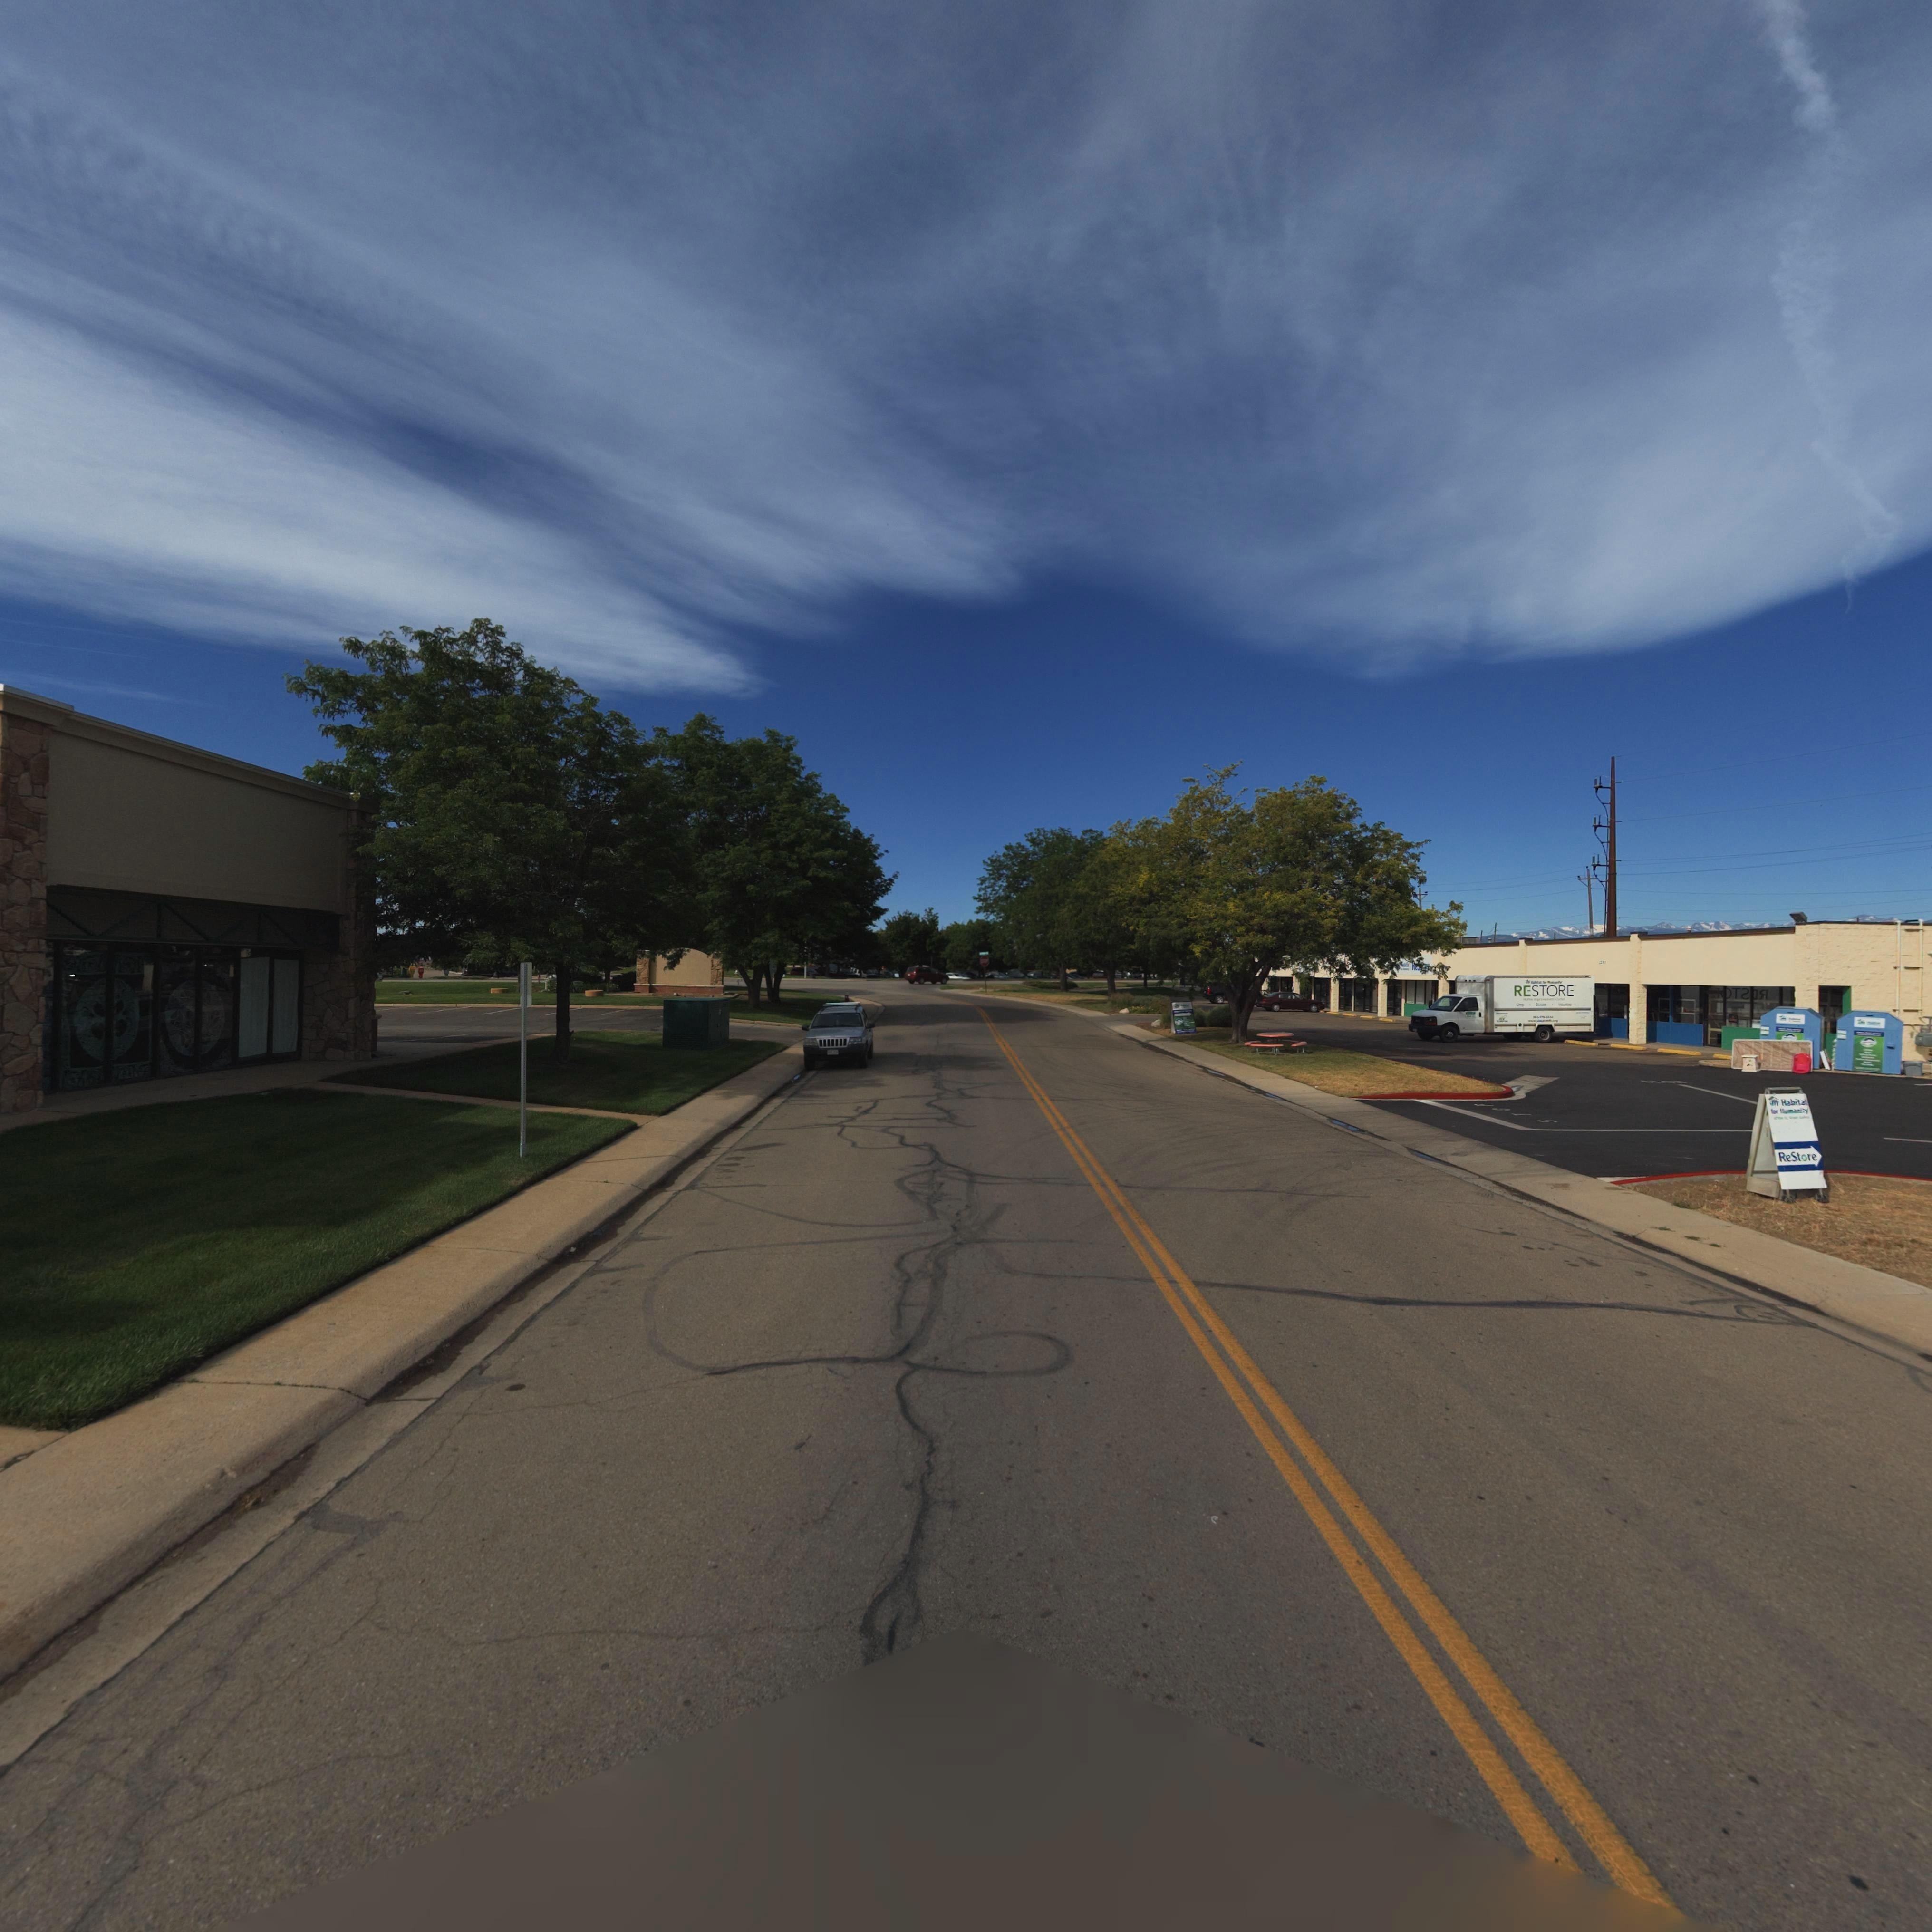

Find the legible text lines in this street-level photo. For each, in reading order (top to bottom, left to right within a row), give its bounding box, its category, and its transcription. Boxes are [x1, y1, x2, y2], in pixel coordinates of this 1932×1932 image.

[1411, 961, 1415, 970] BusinessName: R
[1598, 960, 1606, 964] StreetNumber: **51
[1780, 1098, 1807, 1106] BusinessName: Habitat
[1770, 1107, 1809, 1115] BusinessName: for Humanity
[1778, 1151, 1818, 1162] BusinessName: ReStore